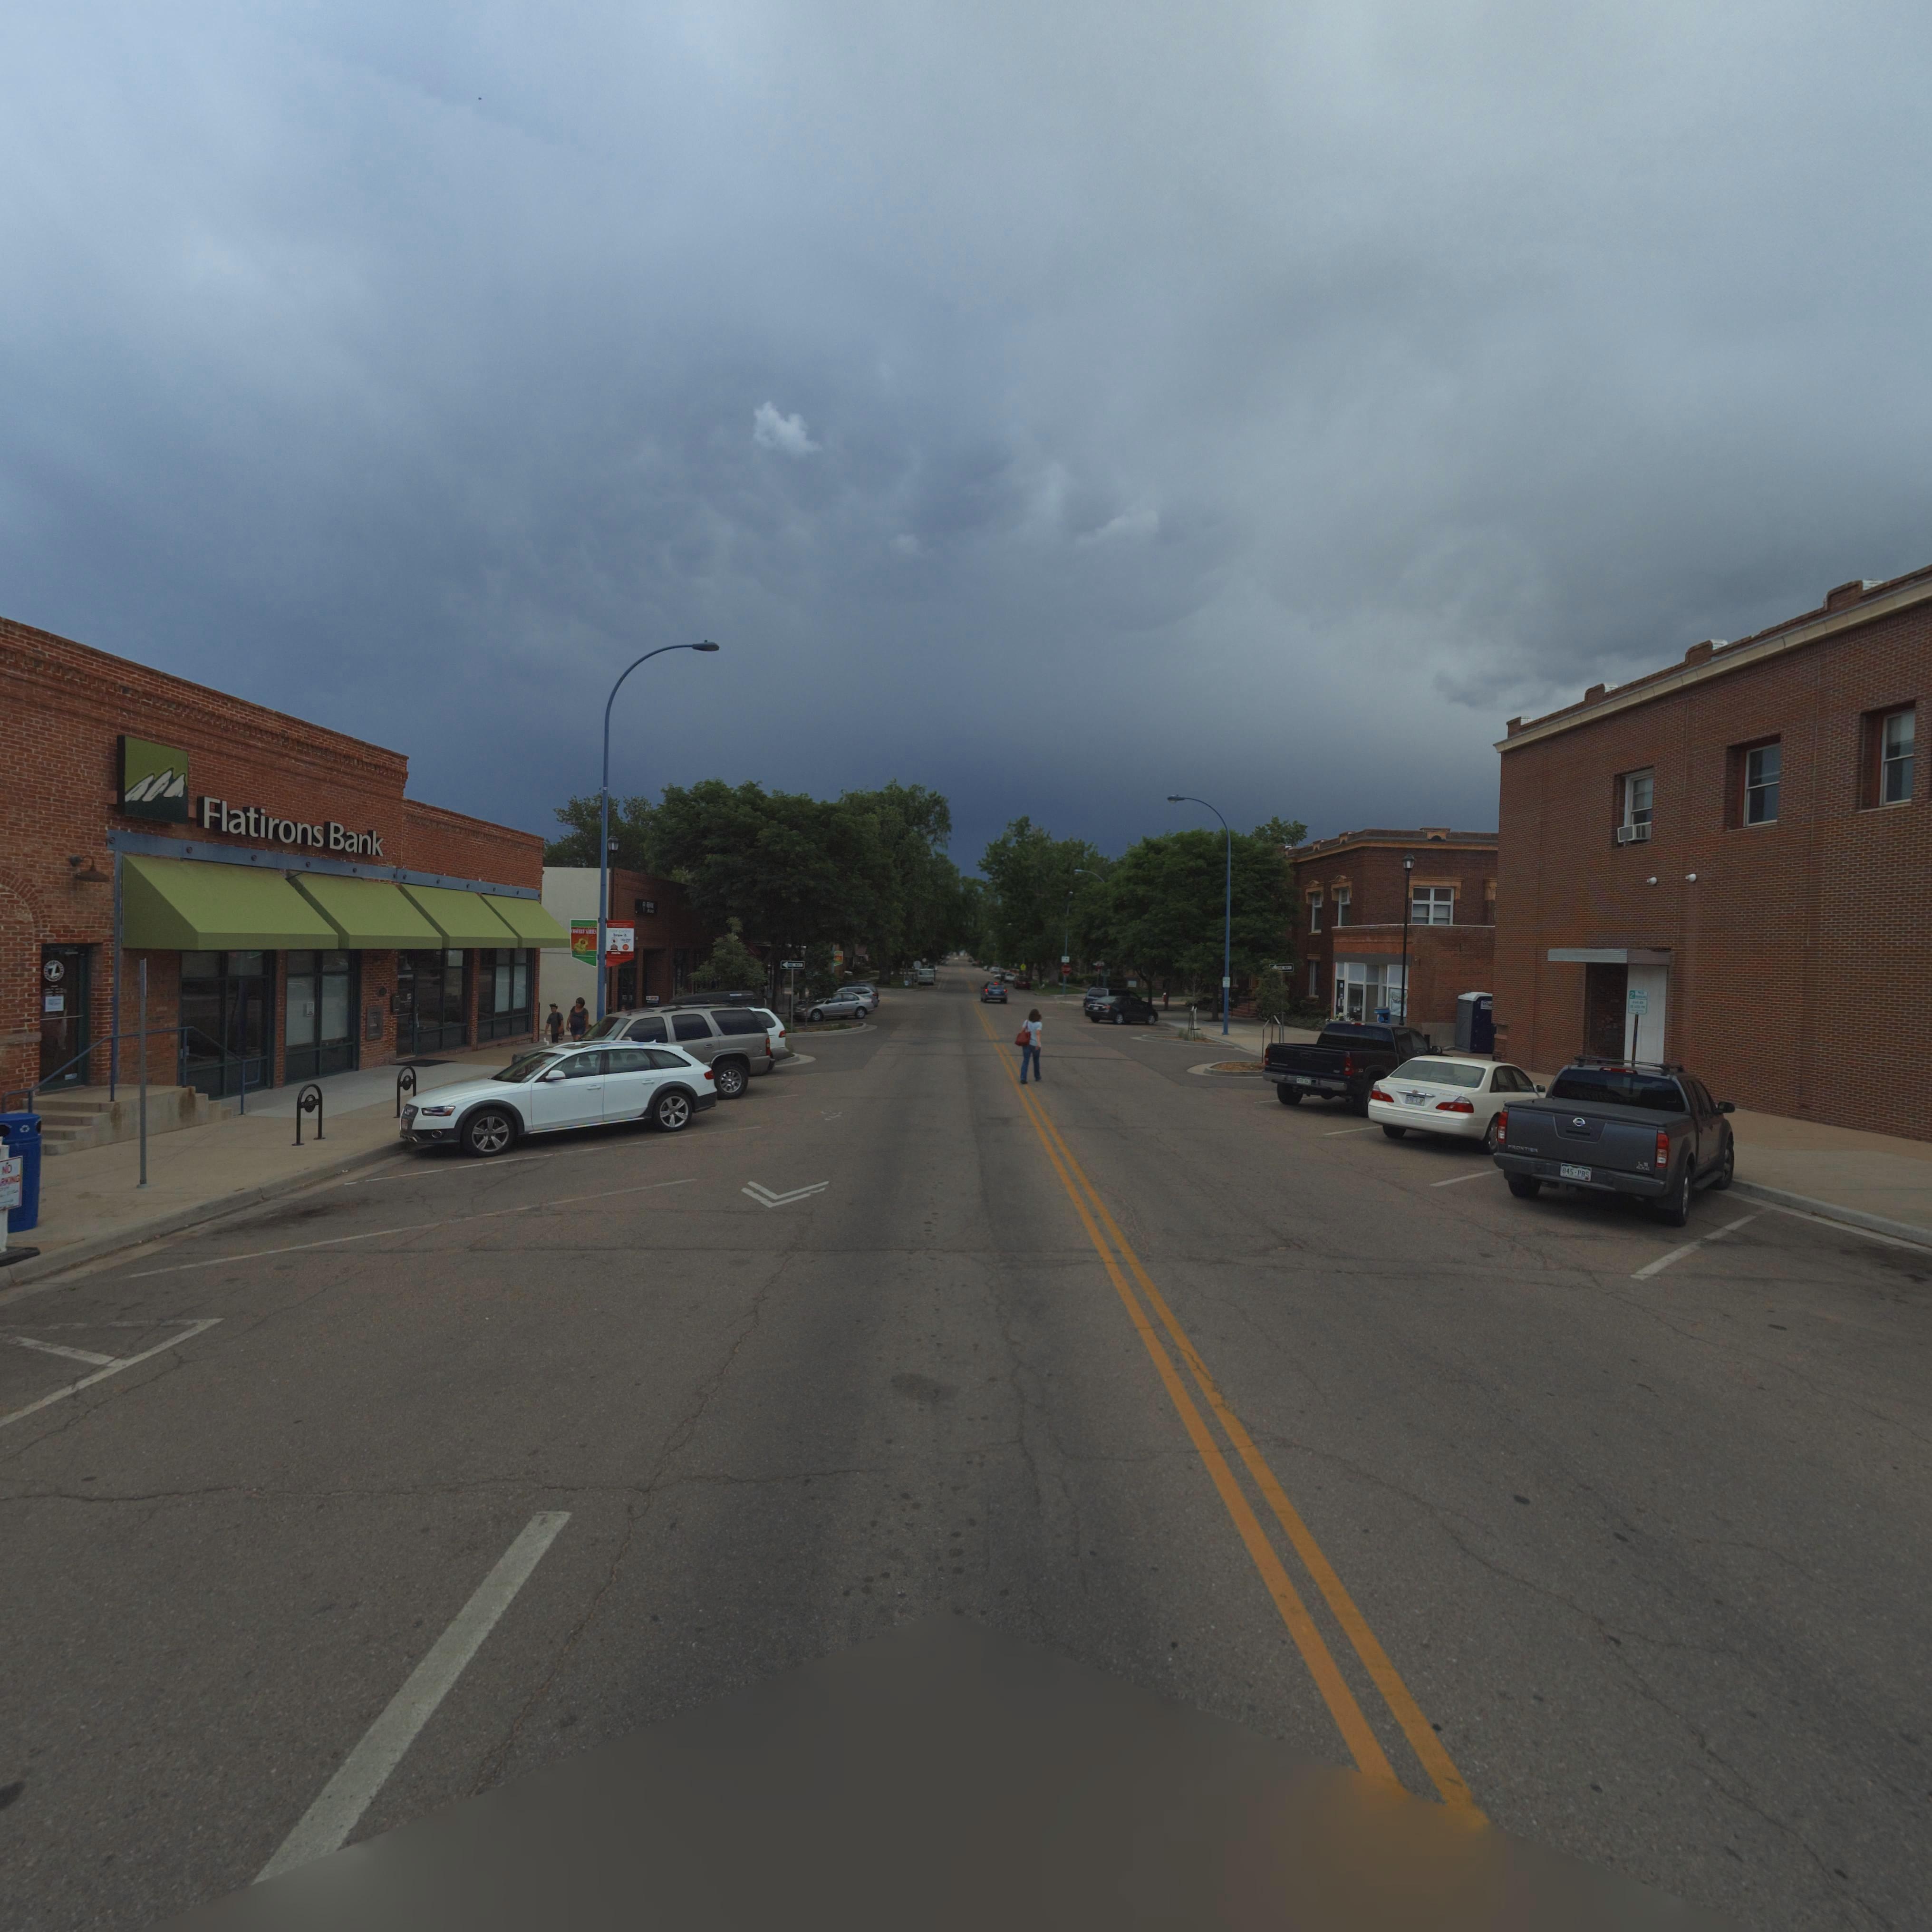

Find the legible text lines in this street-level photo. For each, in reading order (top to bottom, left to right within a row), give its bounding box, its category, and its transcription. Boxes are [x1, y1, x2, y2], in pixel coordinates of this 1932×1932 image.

[204, 796, 385, 858] BusinessName: Flatirons Bank